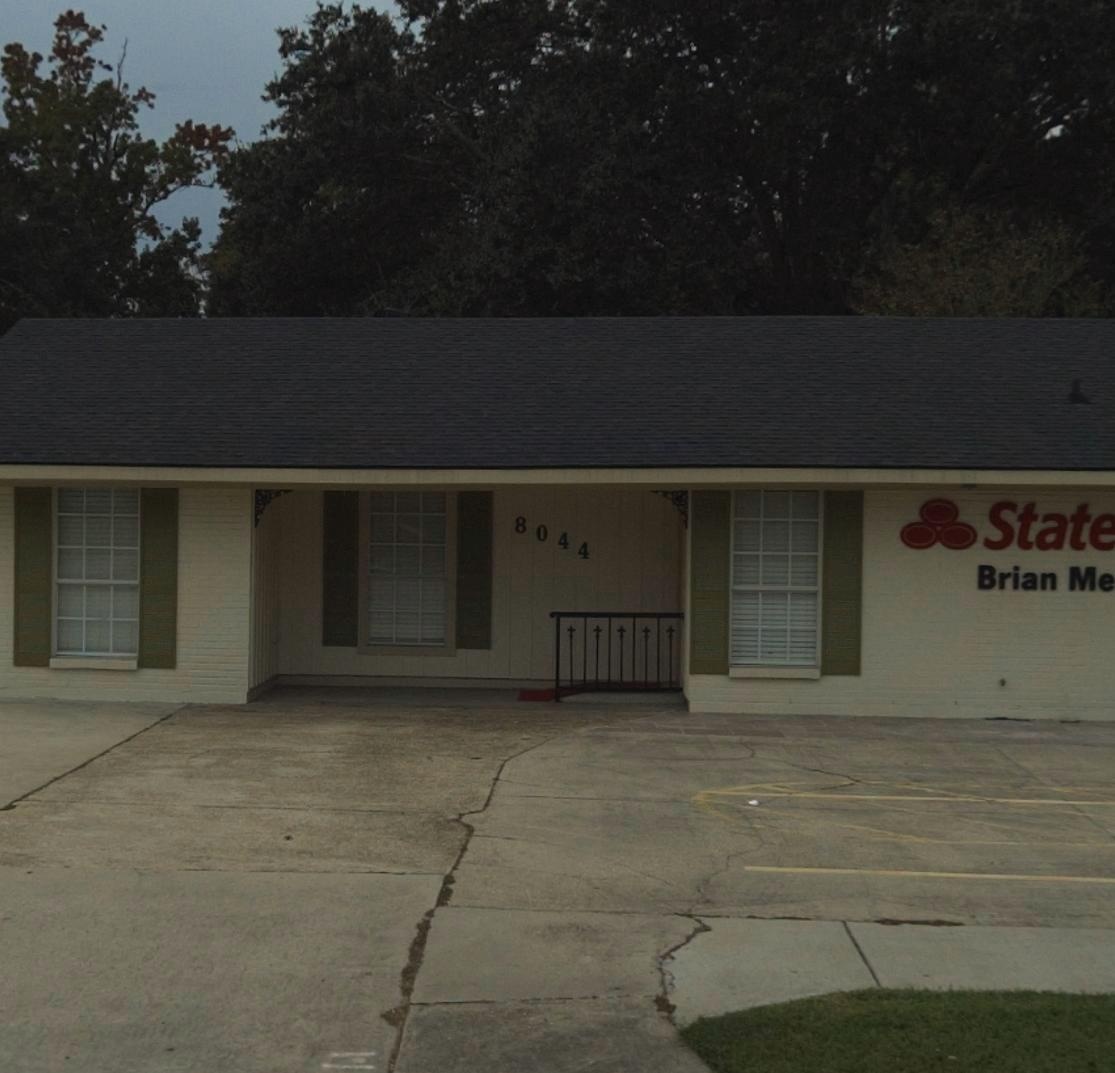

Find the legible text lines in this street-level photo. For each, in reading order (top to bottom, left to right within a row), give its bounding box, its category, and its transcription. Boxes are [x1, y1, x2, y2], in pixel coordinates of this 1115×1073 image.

[514, 513, 590, 563] StreetNumber: 8044
[979, 500, 1115, 554] StreetNumber: Stat*
[976, 564, 1113, 594] None: Brian Me